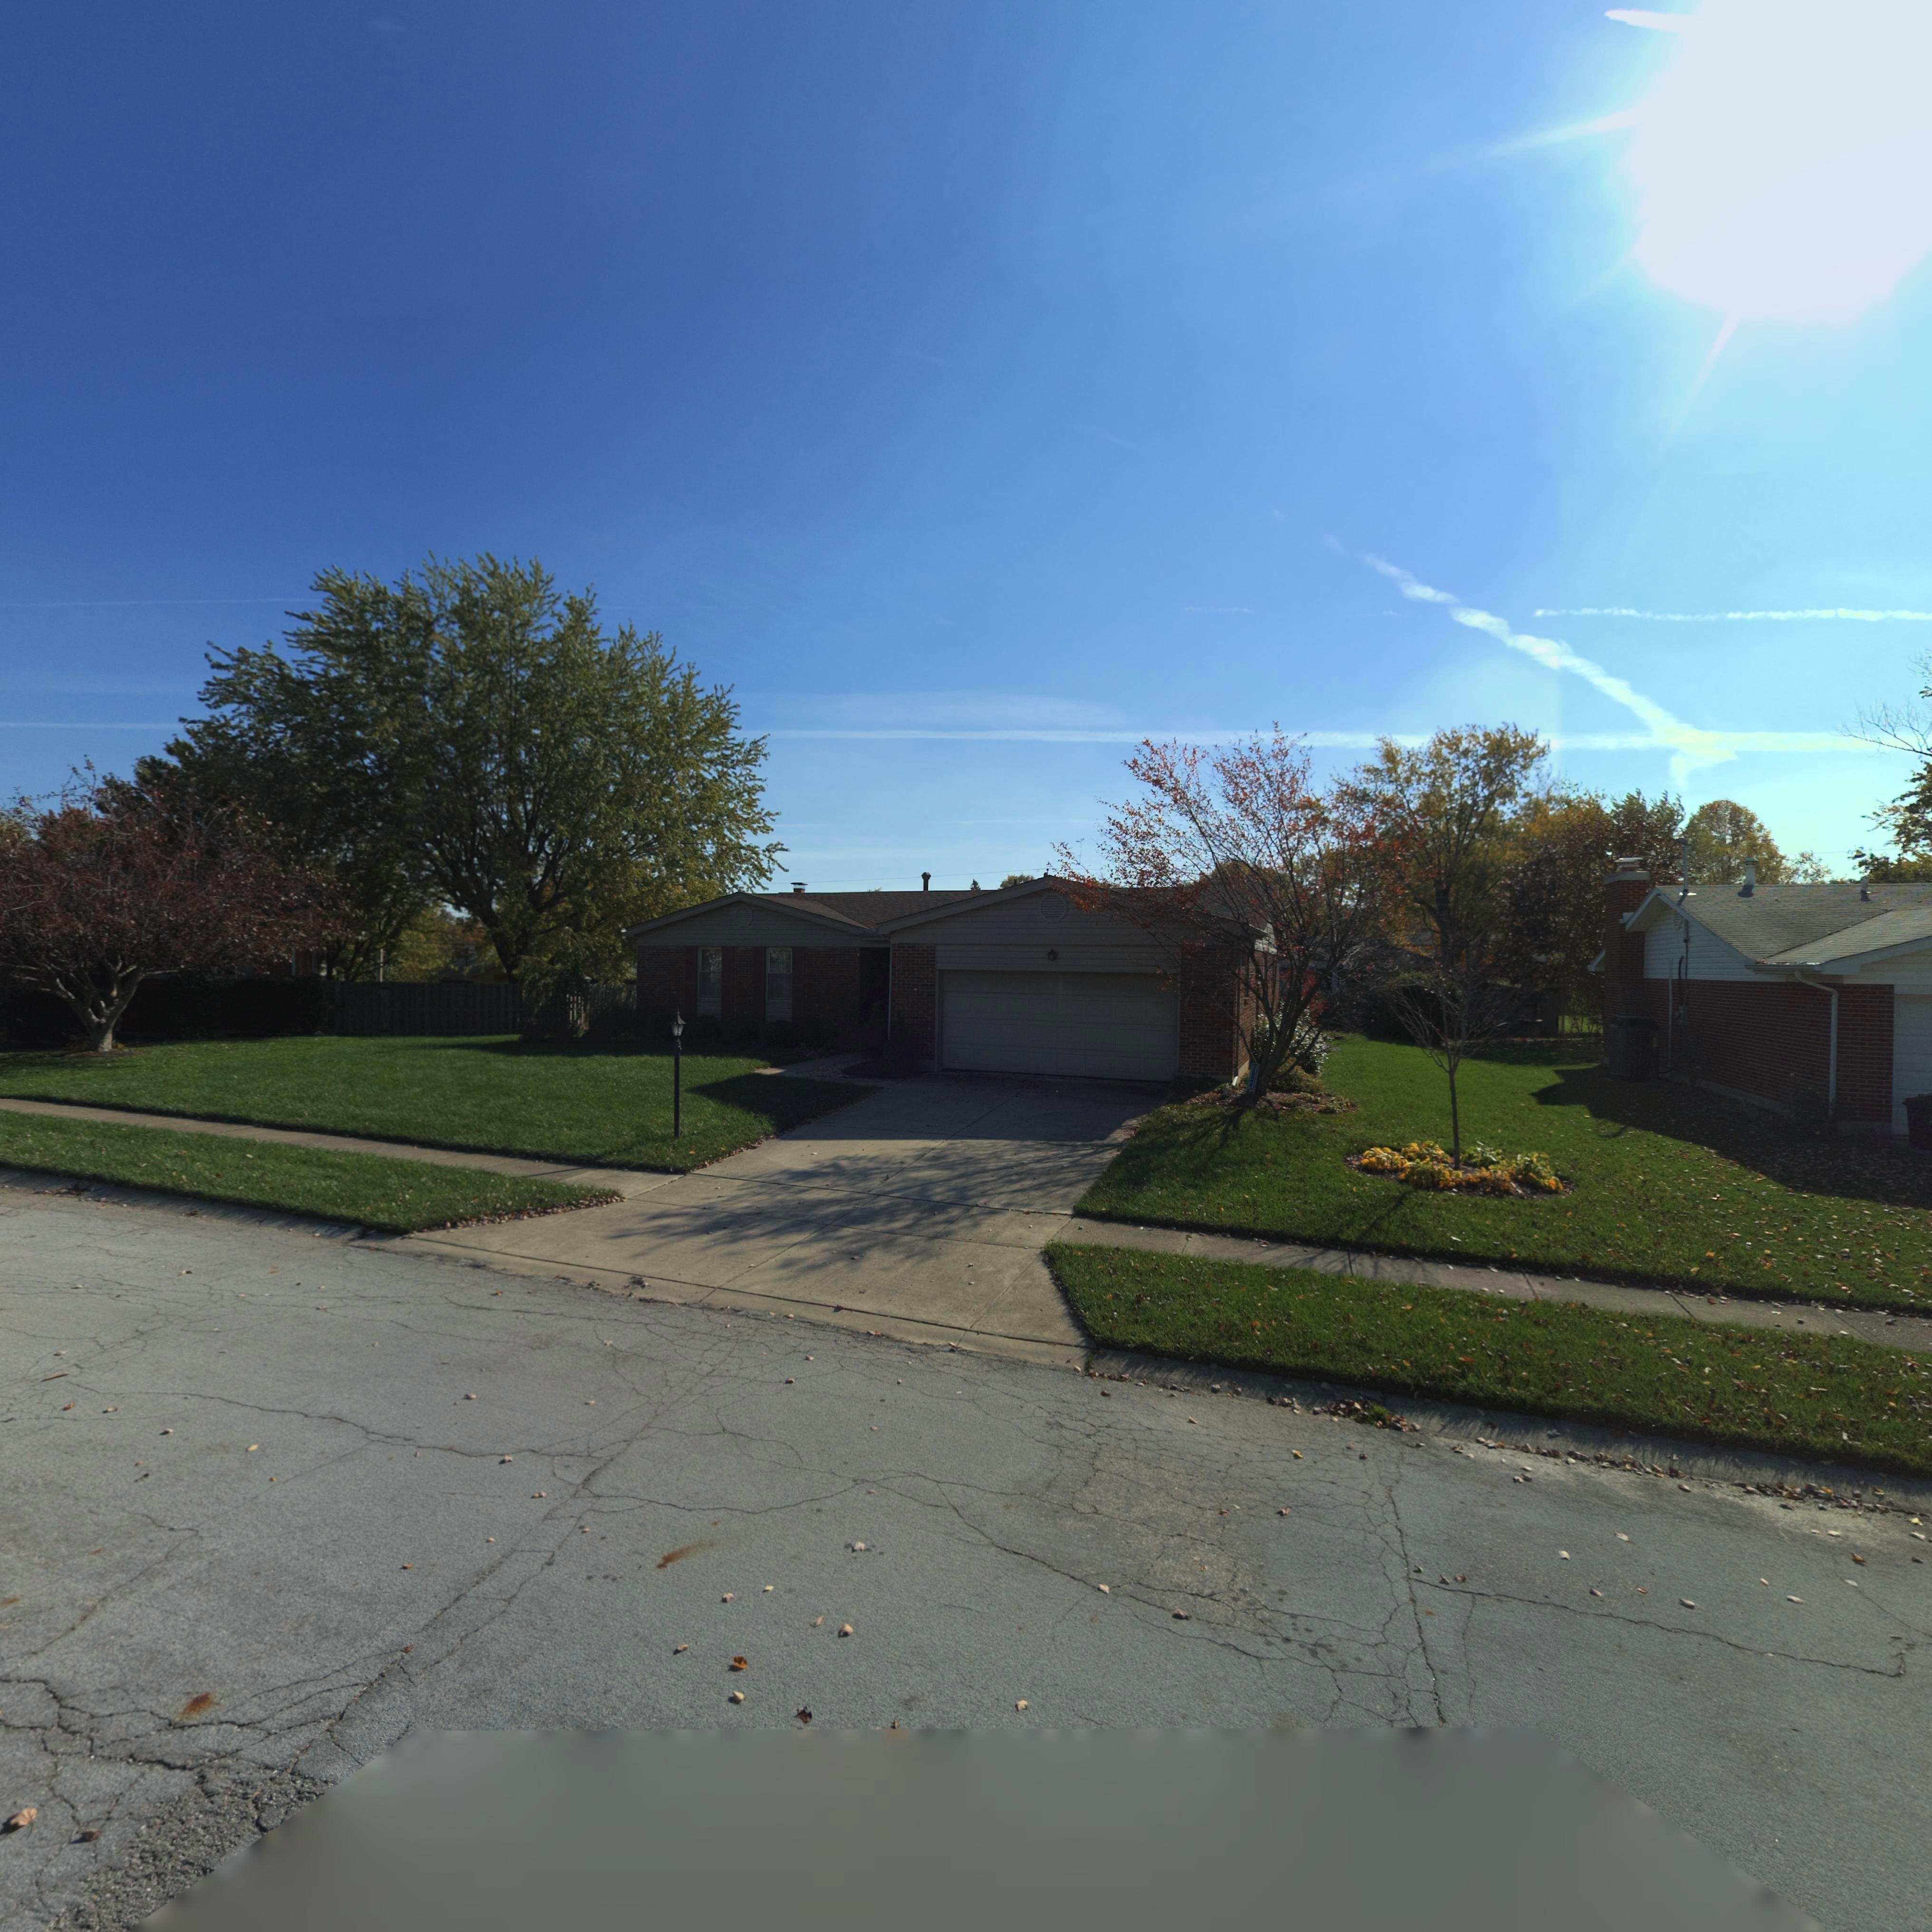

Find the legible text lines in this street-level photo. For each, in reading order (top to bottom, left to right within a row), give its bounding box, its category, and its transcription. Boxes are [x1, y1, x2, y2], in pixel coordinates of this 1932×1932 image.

[1248, 1065, 1257, 1087] StreetNumber: 1024
[307, 1223, 350, 1238] StreetNumber: 102*